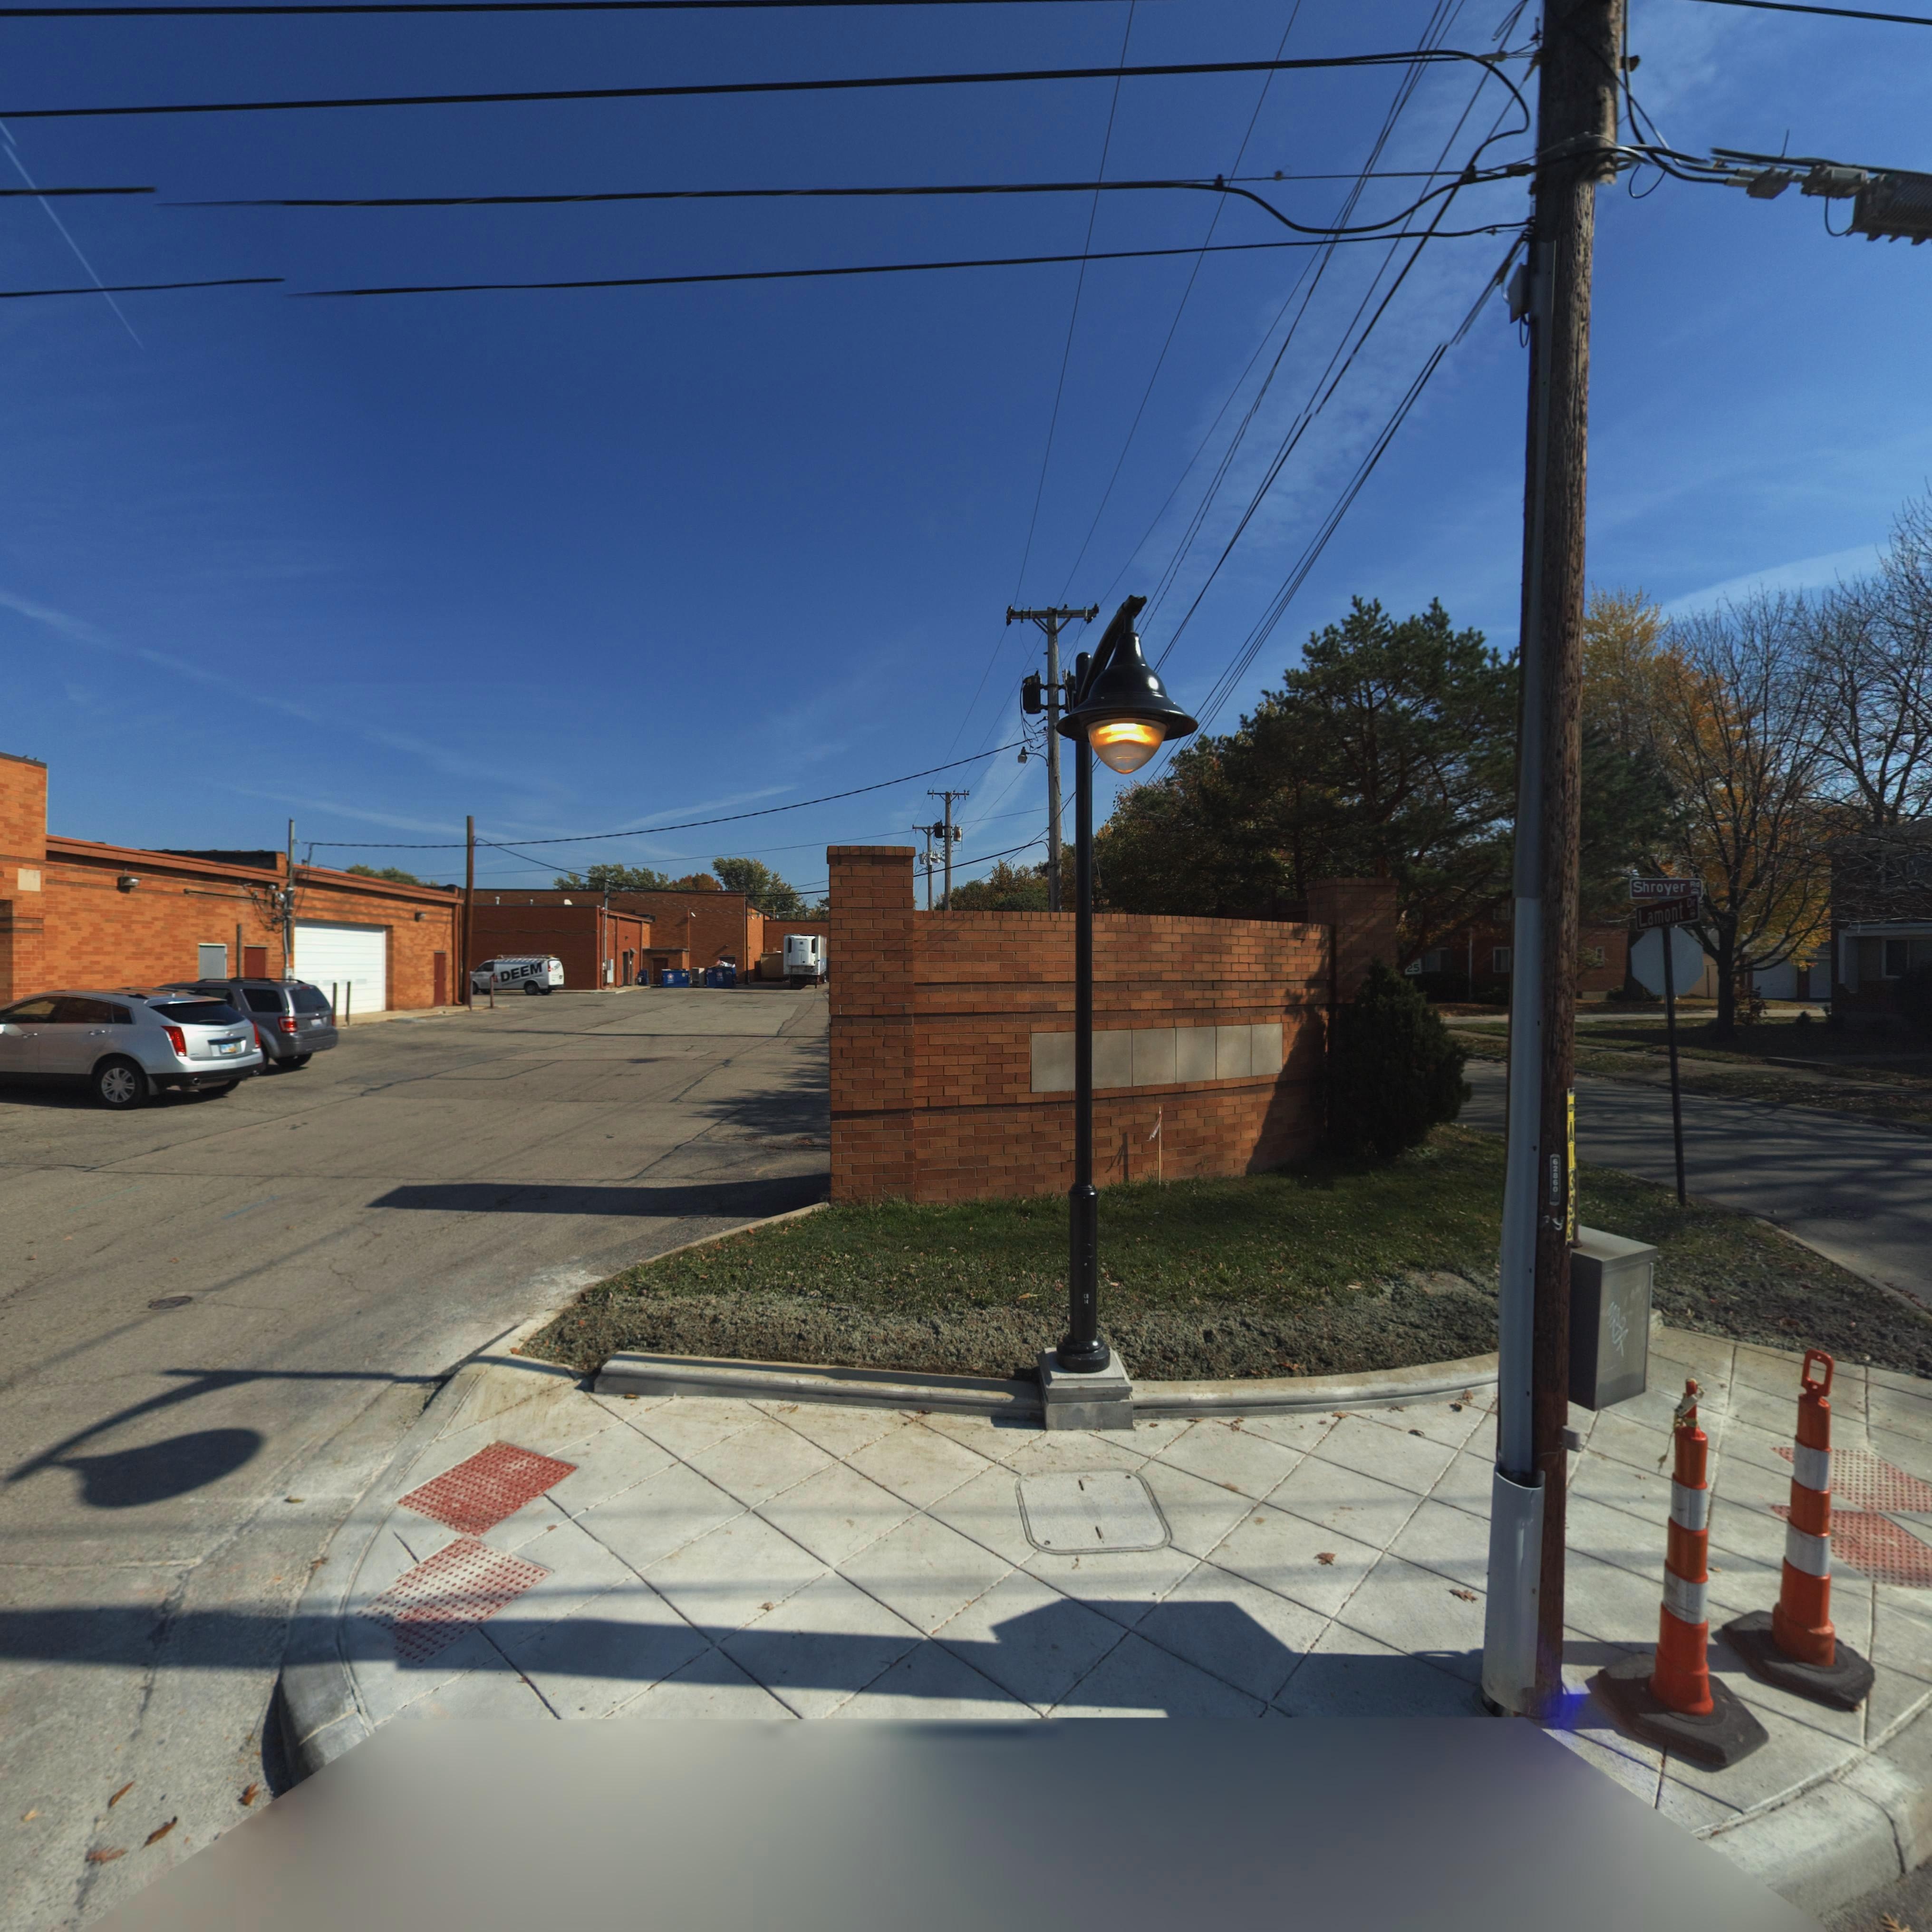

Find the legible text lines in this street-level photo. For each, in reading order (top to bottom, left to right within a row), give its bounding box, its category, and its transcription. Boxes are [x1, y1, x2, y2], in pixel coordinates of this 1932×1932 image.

[1632, 880, 1700, 897] StreetName: Shroyer Rd
[1638, 897, 1697, 928] StreetName: Lamont Dr
[499, 961, 542, 983] None: DEEM
[1407, 964, 1420, 972] None: 25
[1552, 1158, 1559, 1193] None: 62860
[1566, 1119, 1576, 1240] None: A 393